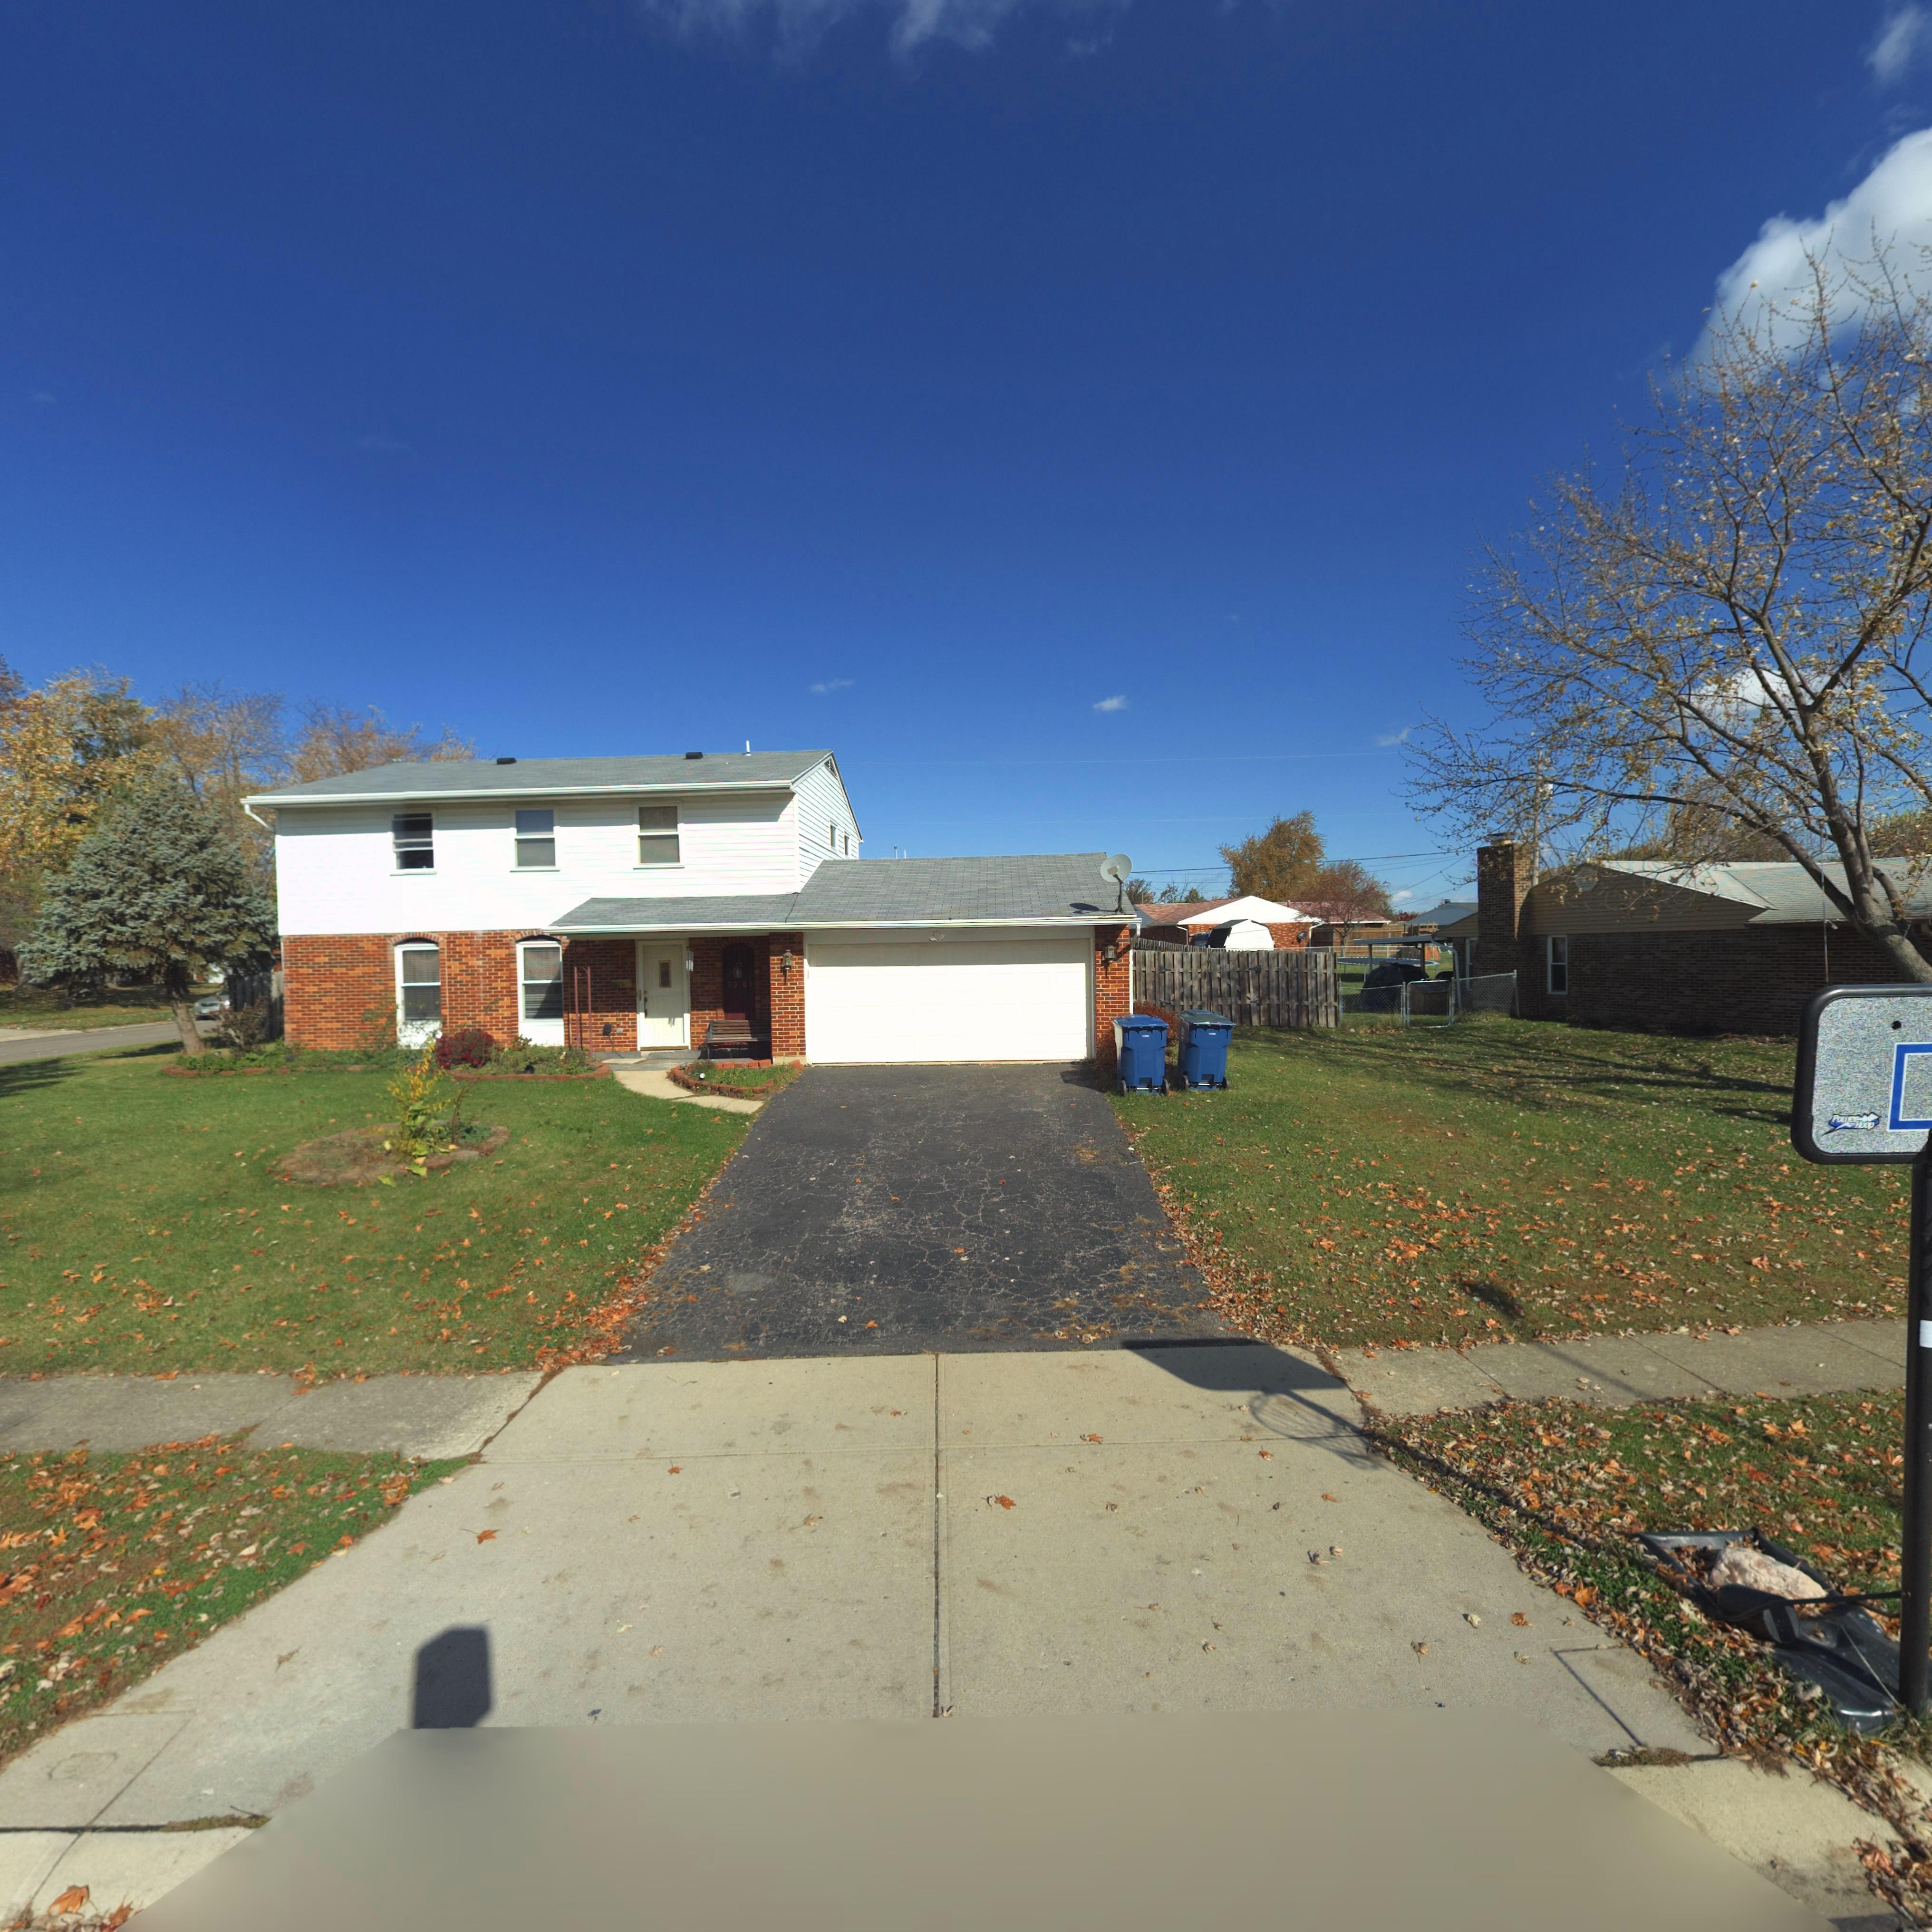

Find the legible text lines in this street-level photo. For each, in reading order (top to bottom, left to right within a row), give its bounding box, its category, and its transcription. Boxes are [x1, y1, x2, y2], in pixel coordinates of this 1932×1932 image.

[726, 980, 753, 989] StreetNumber: 72 01